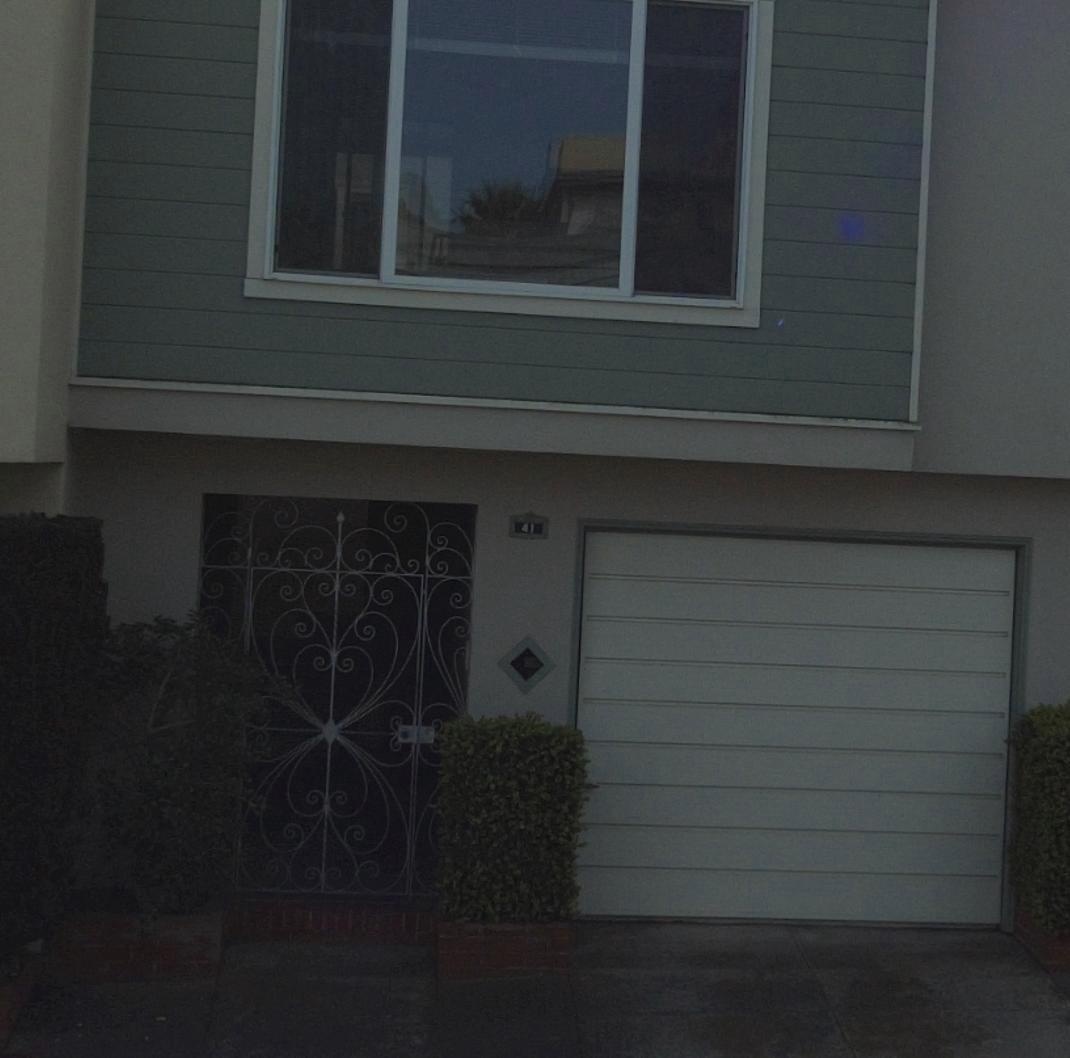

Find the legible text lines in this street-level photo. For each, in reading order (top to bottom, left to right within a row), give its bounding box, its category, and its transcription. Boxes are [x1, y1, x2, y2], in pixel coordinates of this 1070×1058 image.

[520, 522, 535, 534] StreetNumber: 41